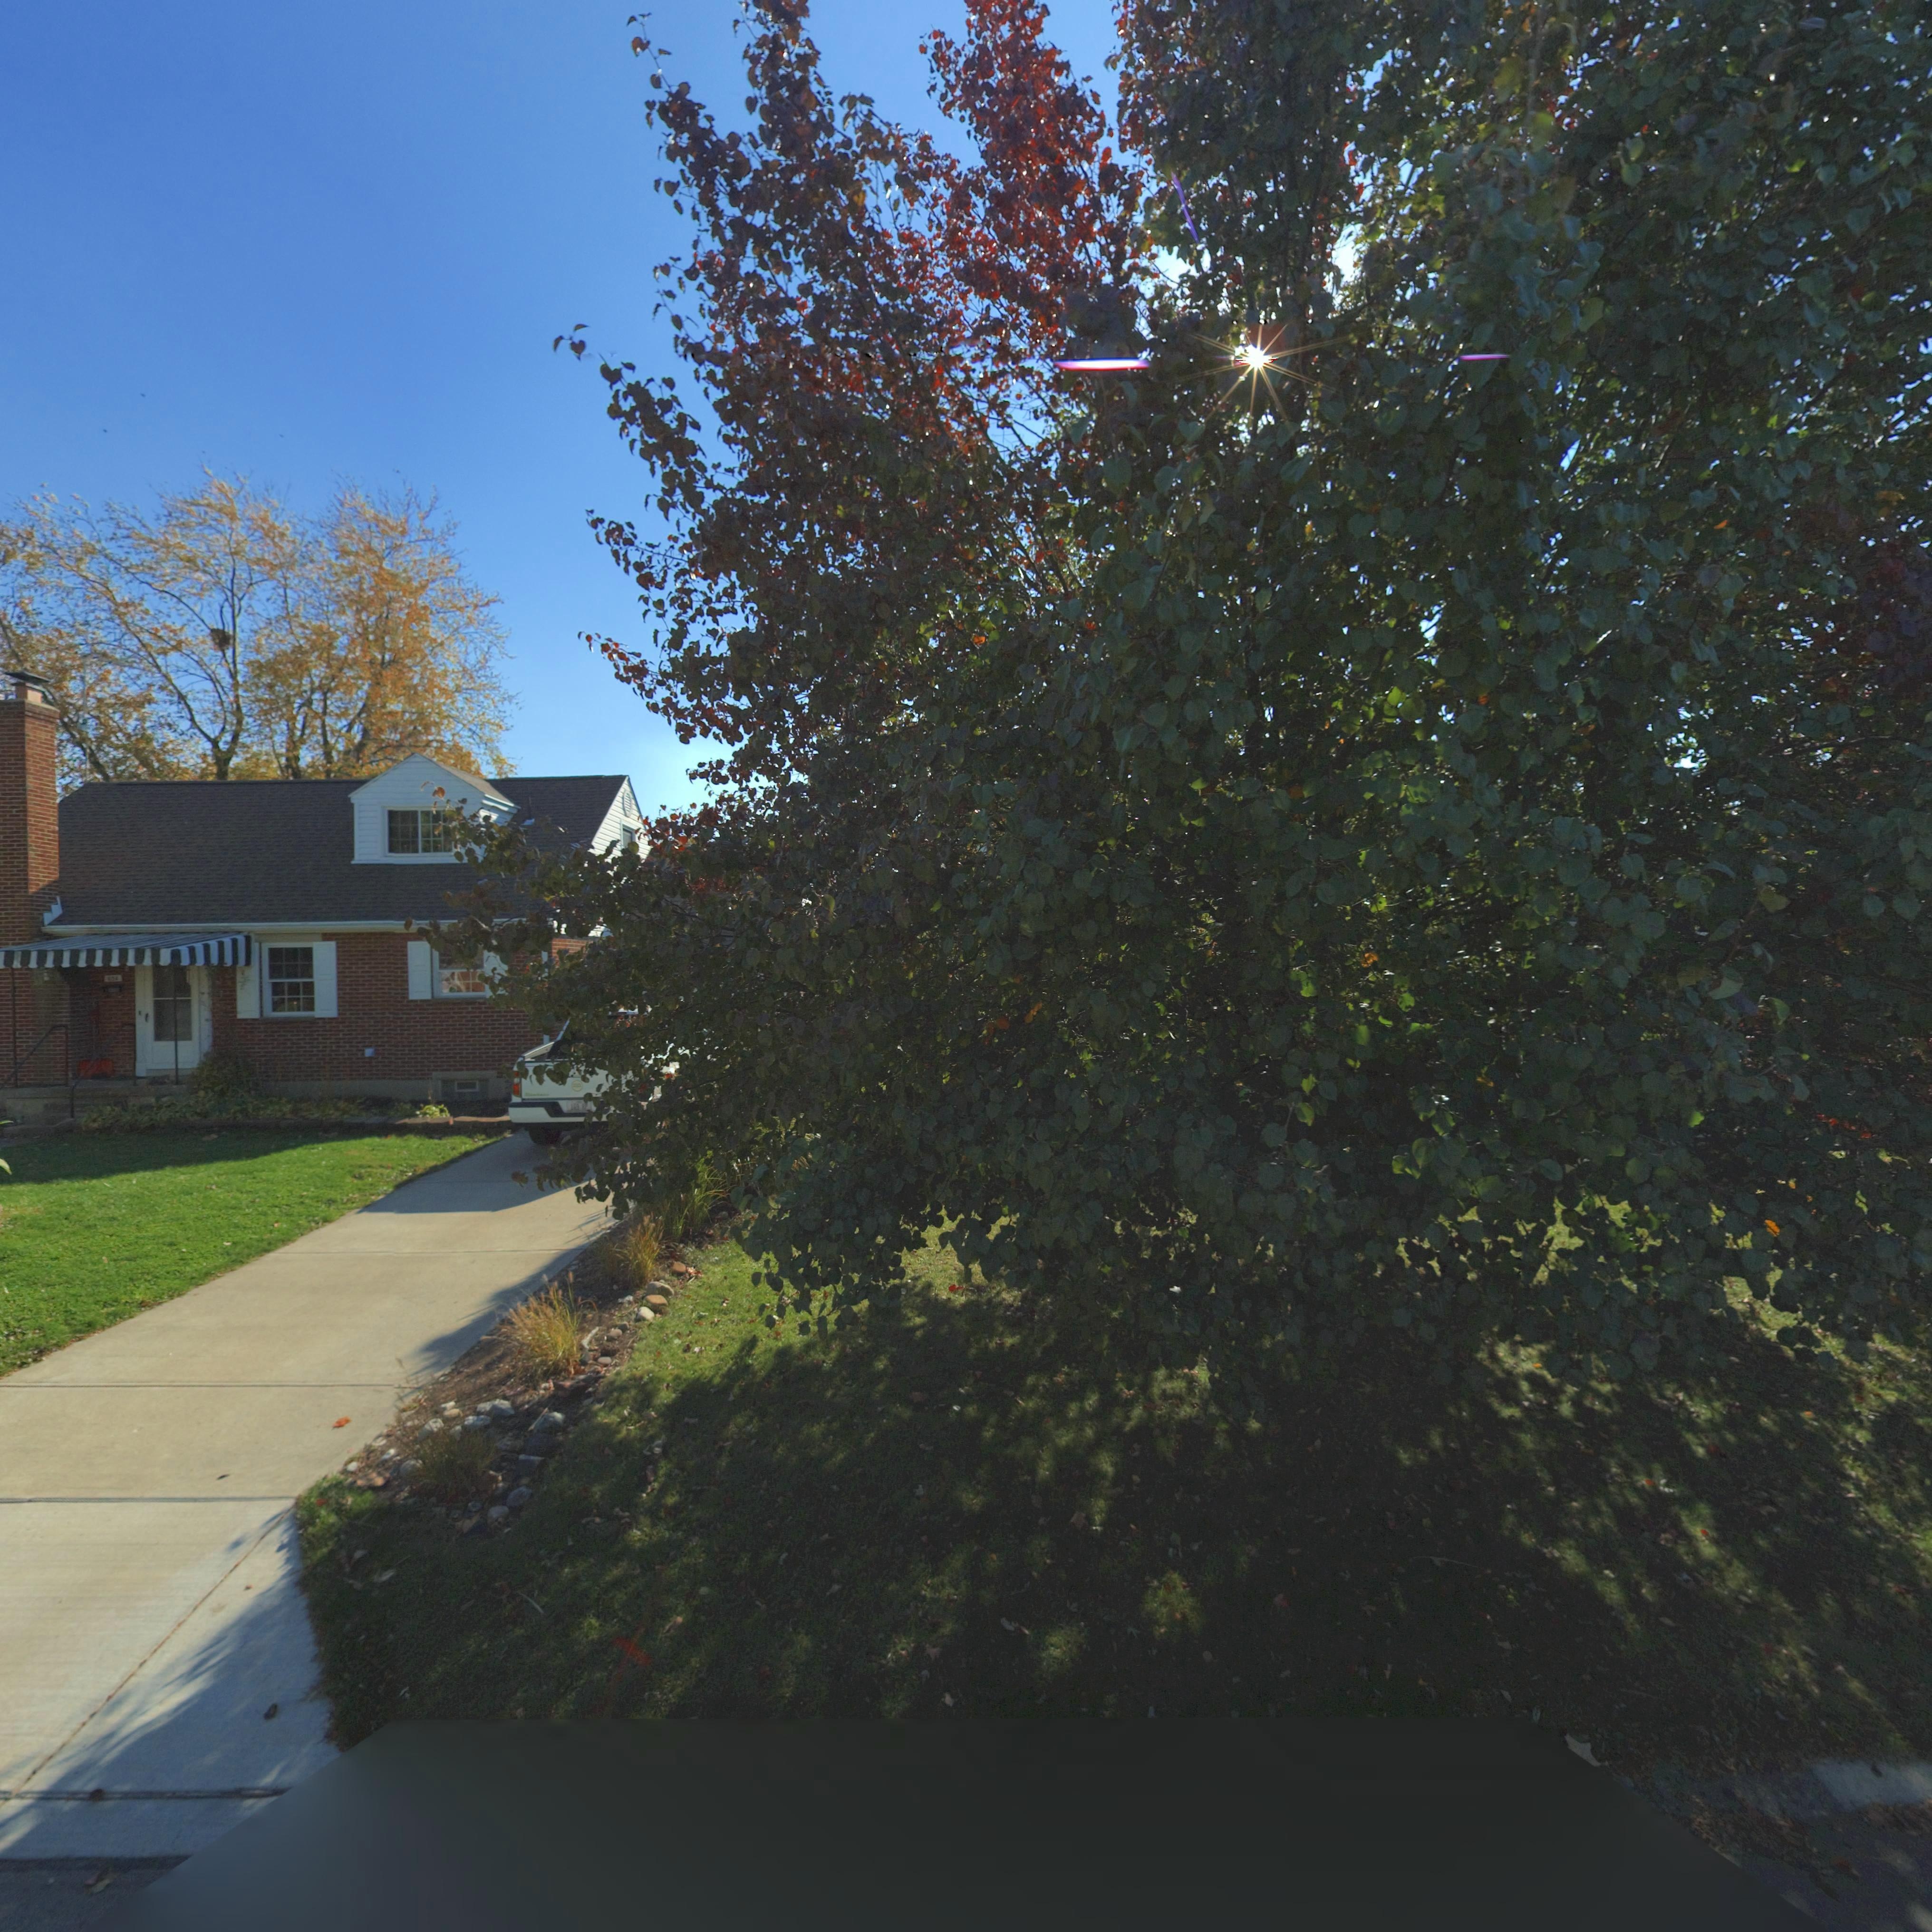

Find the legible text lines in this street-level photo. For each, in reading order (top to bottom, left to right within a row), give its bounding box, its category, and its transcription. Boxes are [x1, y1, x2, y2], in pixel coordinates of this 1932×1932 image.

[106, 975, 119, 982] StreetNumber: *0*